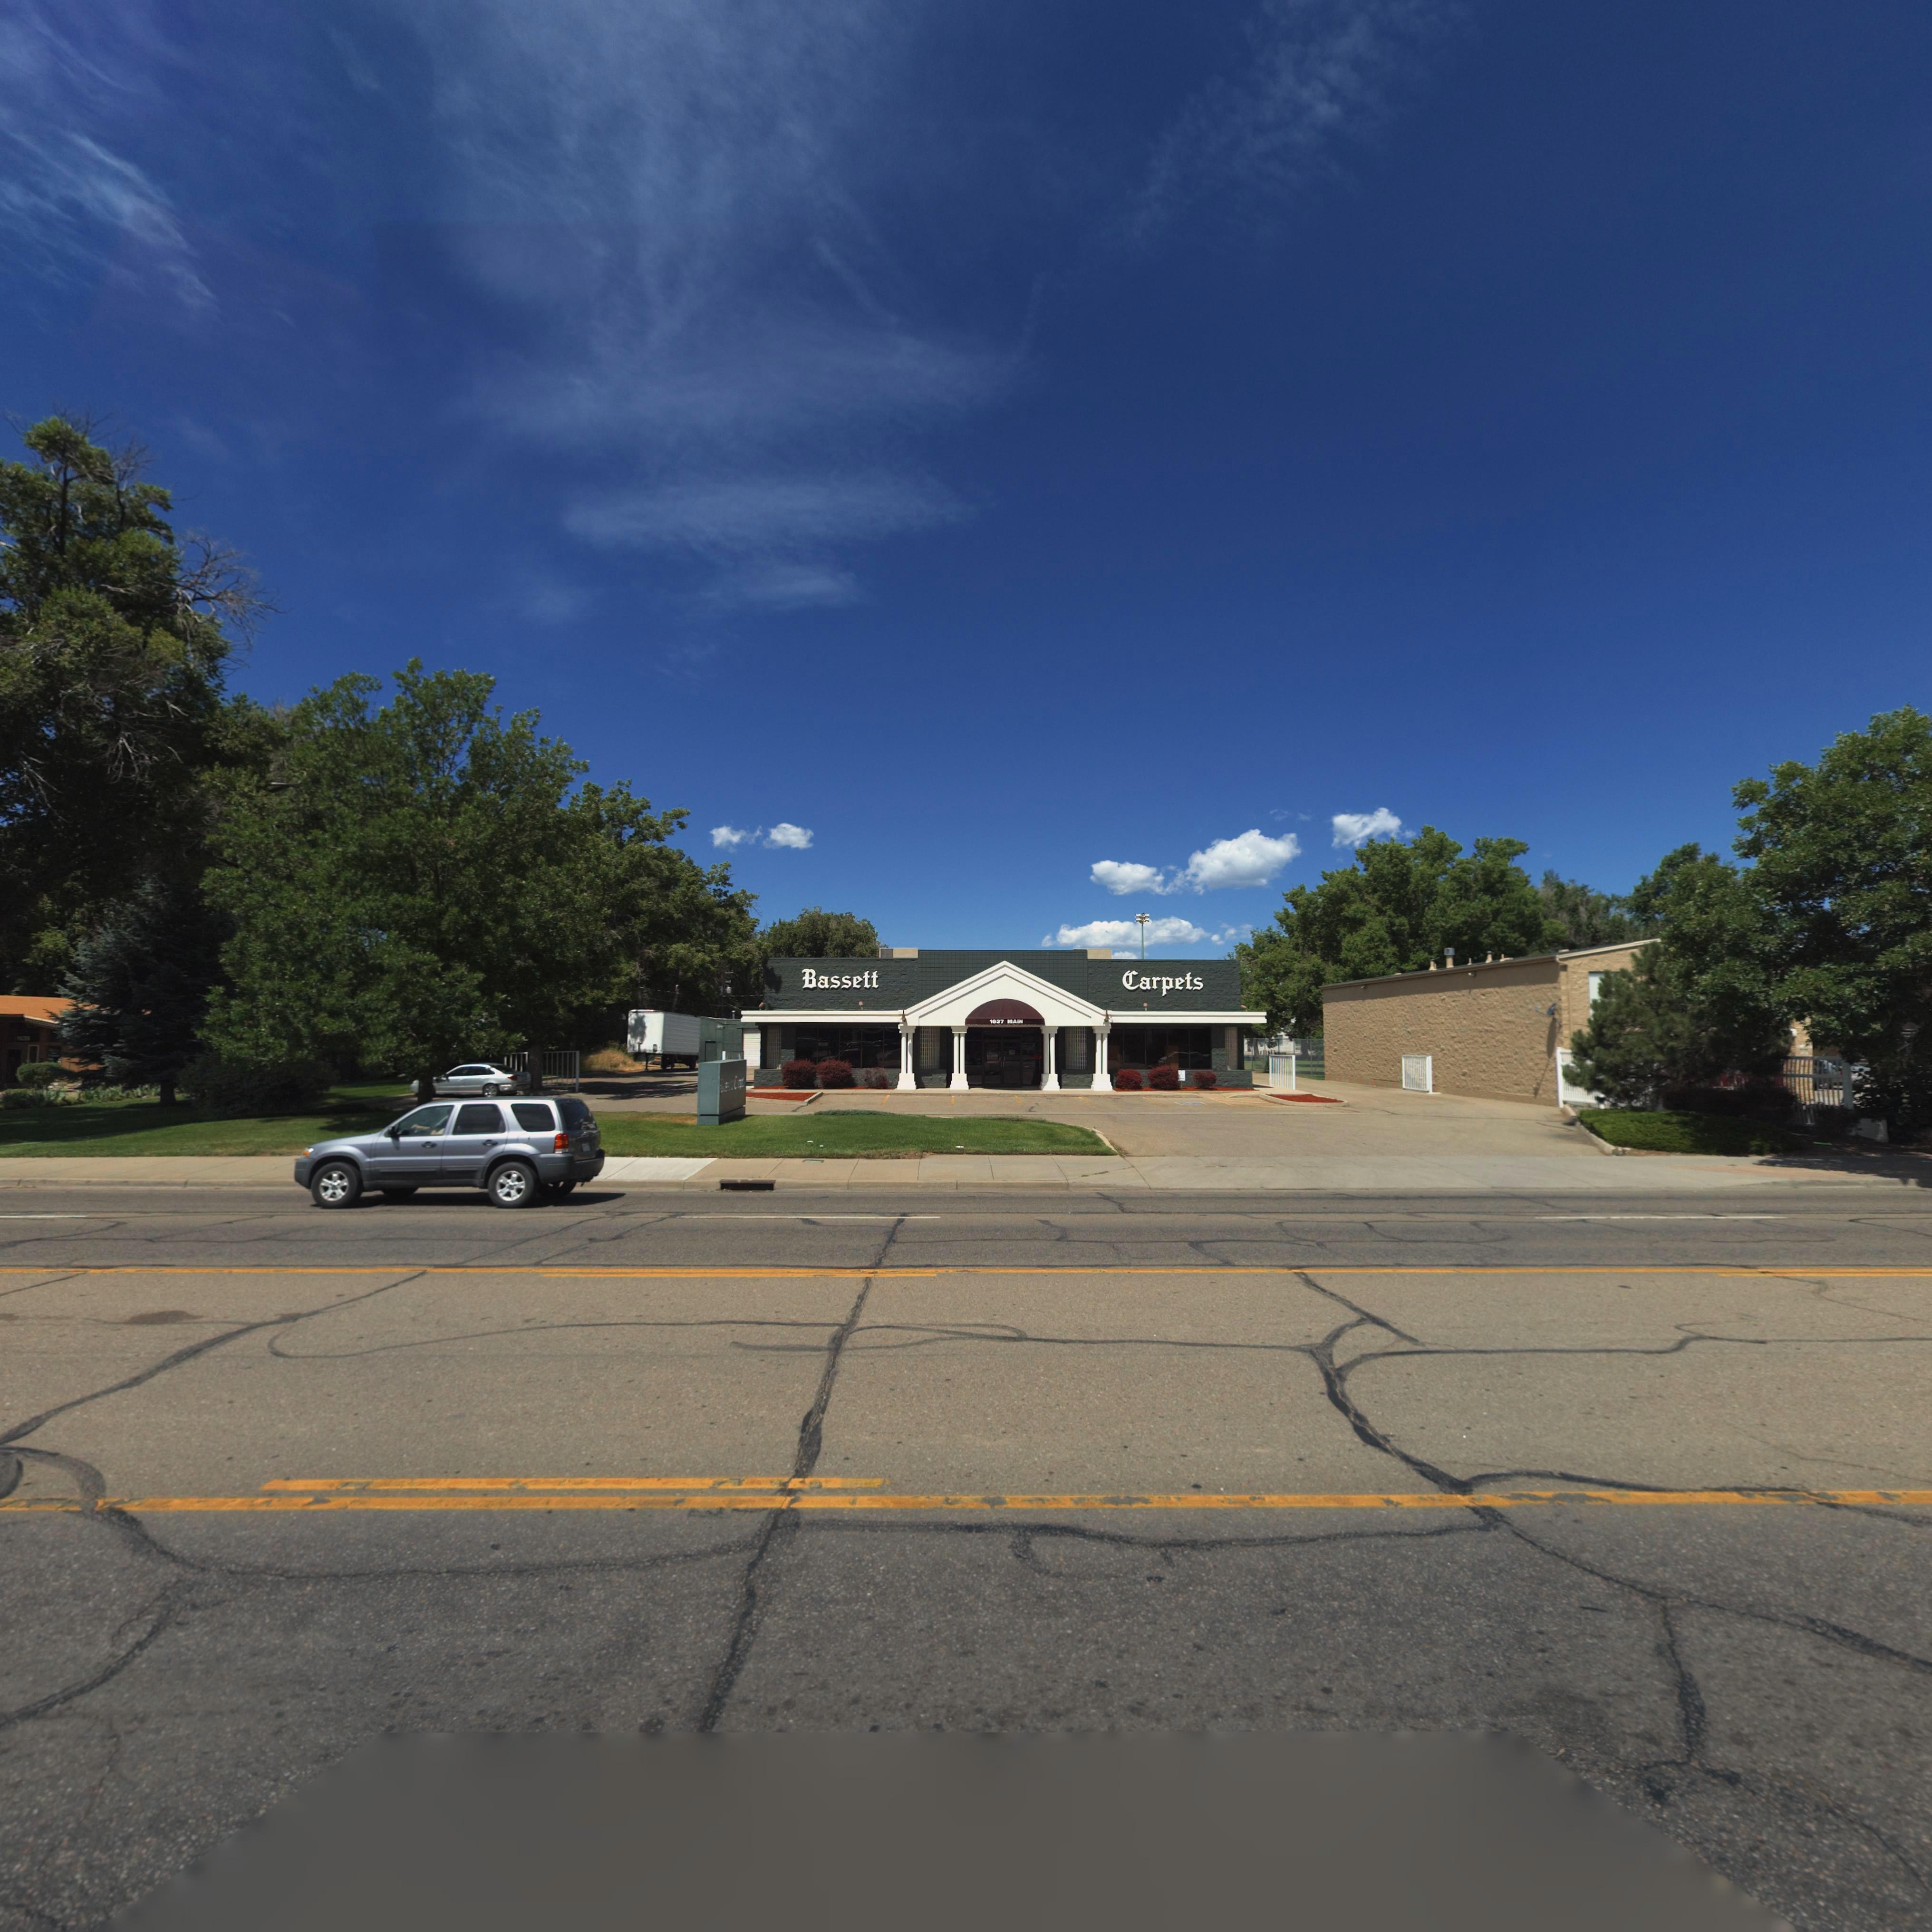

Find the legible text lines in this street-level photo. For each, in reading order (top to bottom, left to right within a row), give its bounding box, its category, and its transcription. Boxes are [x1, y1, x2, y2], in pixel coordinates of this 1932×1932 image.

[801, 968, 879, 989] BusinessName: Bassett
[1121, 969, 1204, 997] BusinessName: Carpets
[989, 1019, 1005, 1024] StreetNumber: 1*37
[1006, 1019, 1023, 1024] StreetName: MAIN
[719, 1075, 745, 1093] BusinessName: ******* C*****